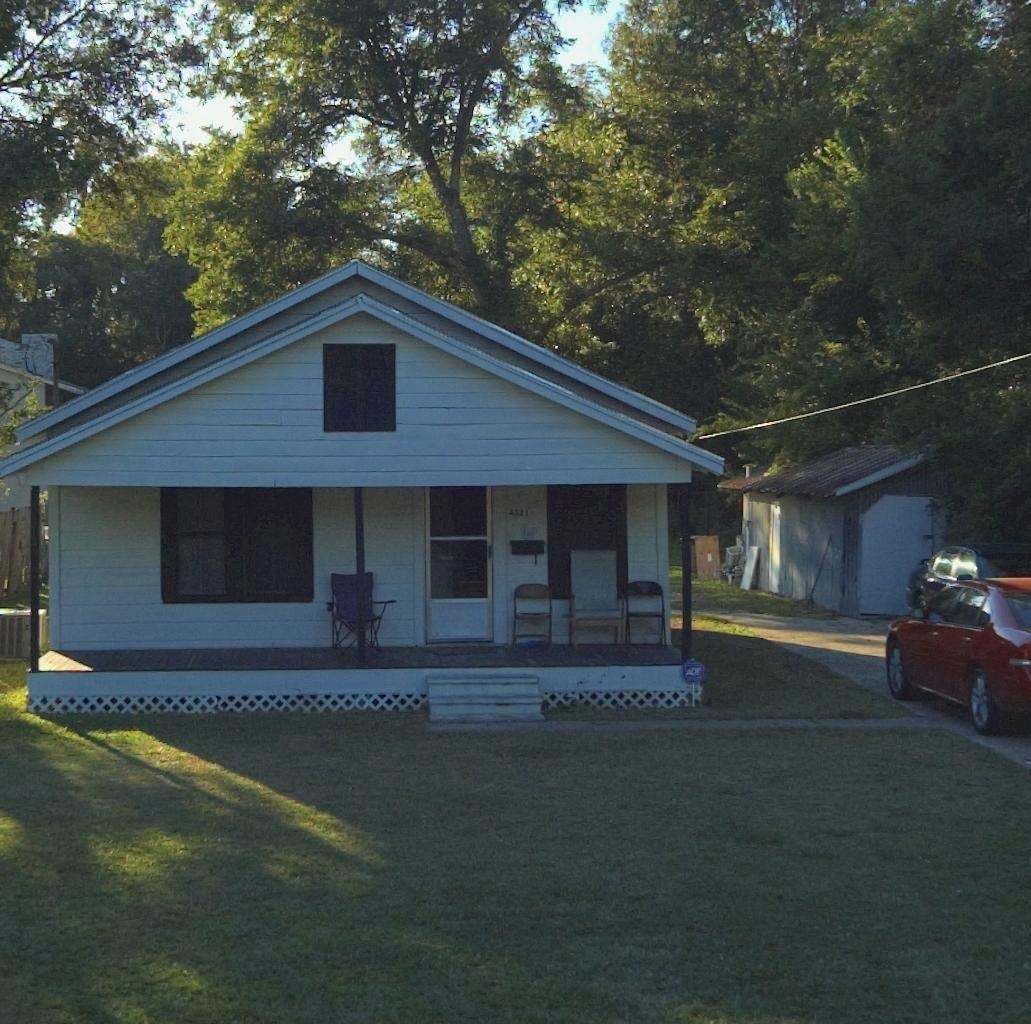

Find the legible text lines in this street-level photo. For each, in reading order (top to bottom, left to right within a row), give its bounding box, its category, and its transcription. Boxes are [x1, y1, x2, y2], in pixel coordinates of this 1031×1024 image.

[508, 507, 530, 517] StreetNumber: 4321
[686, 666, 702, 676] None: ADT